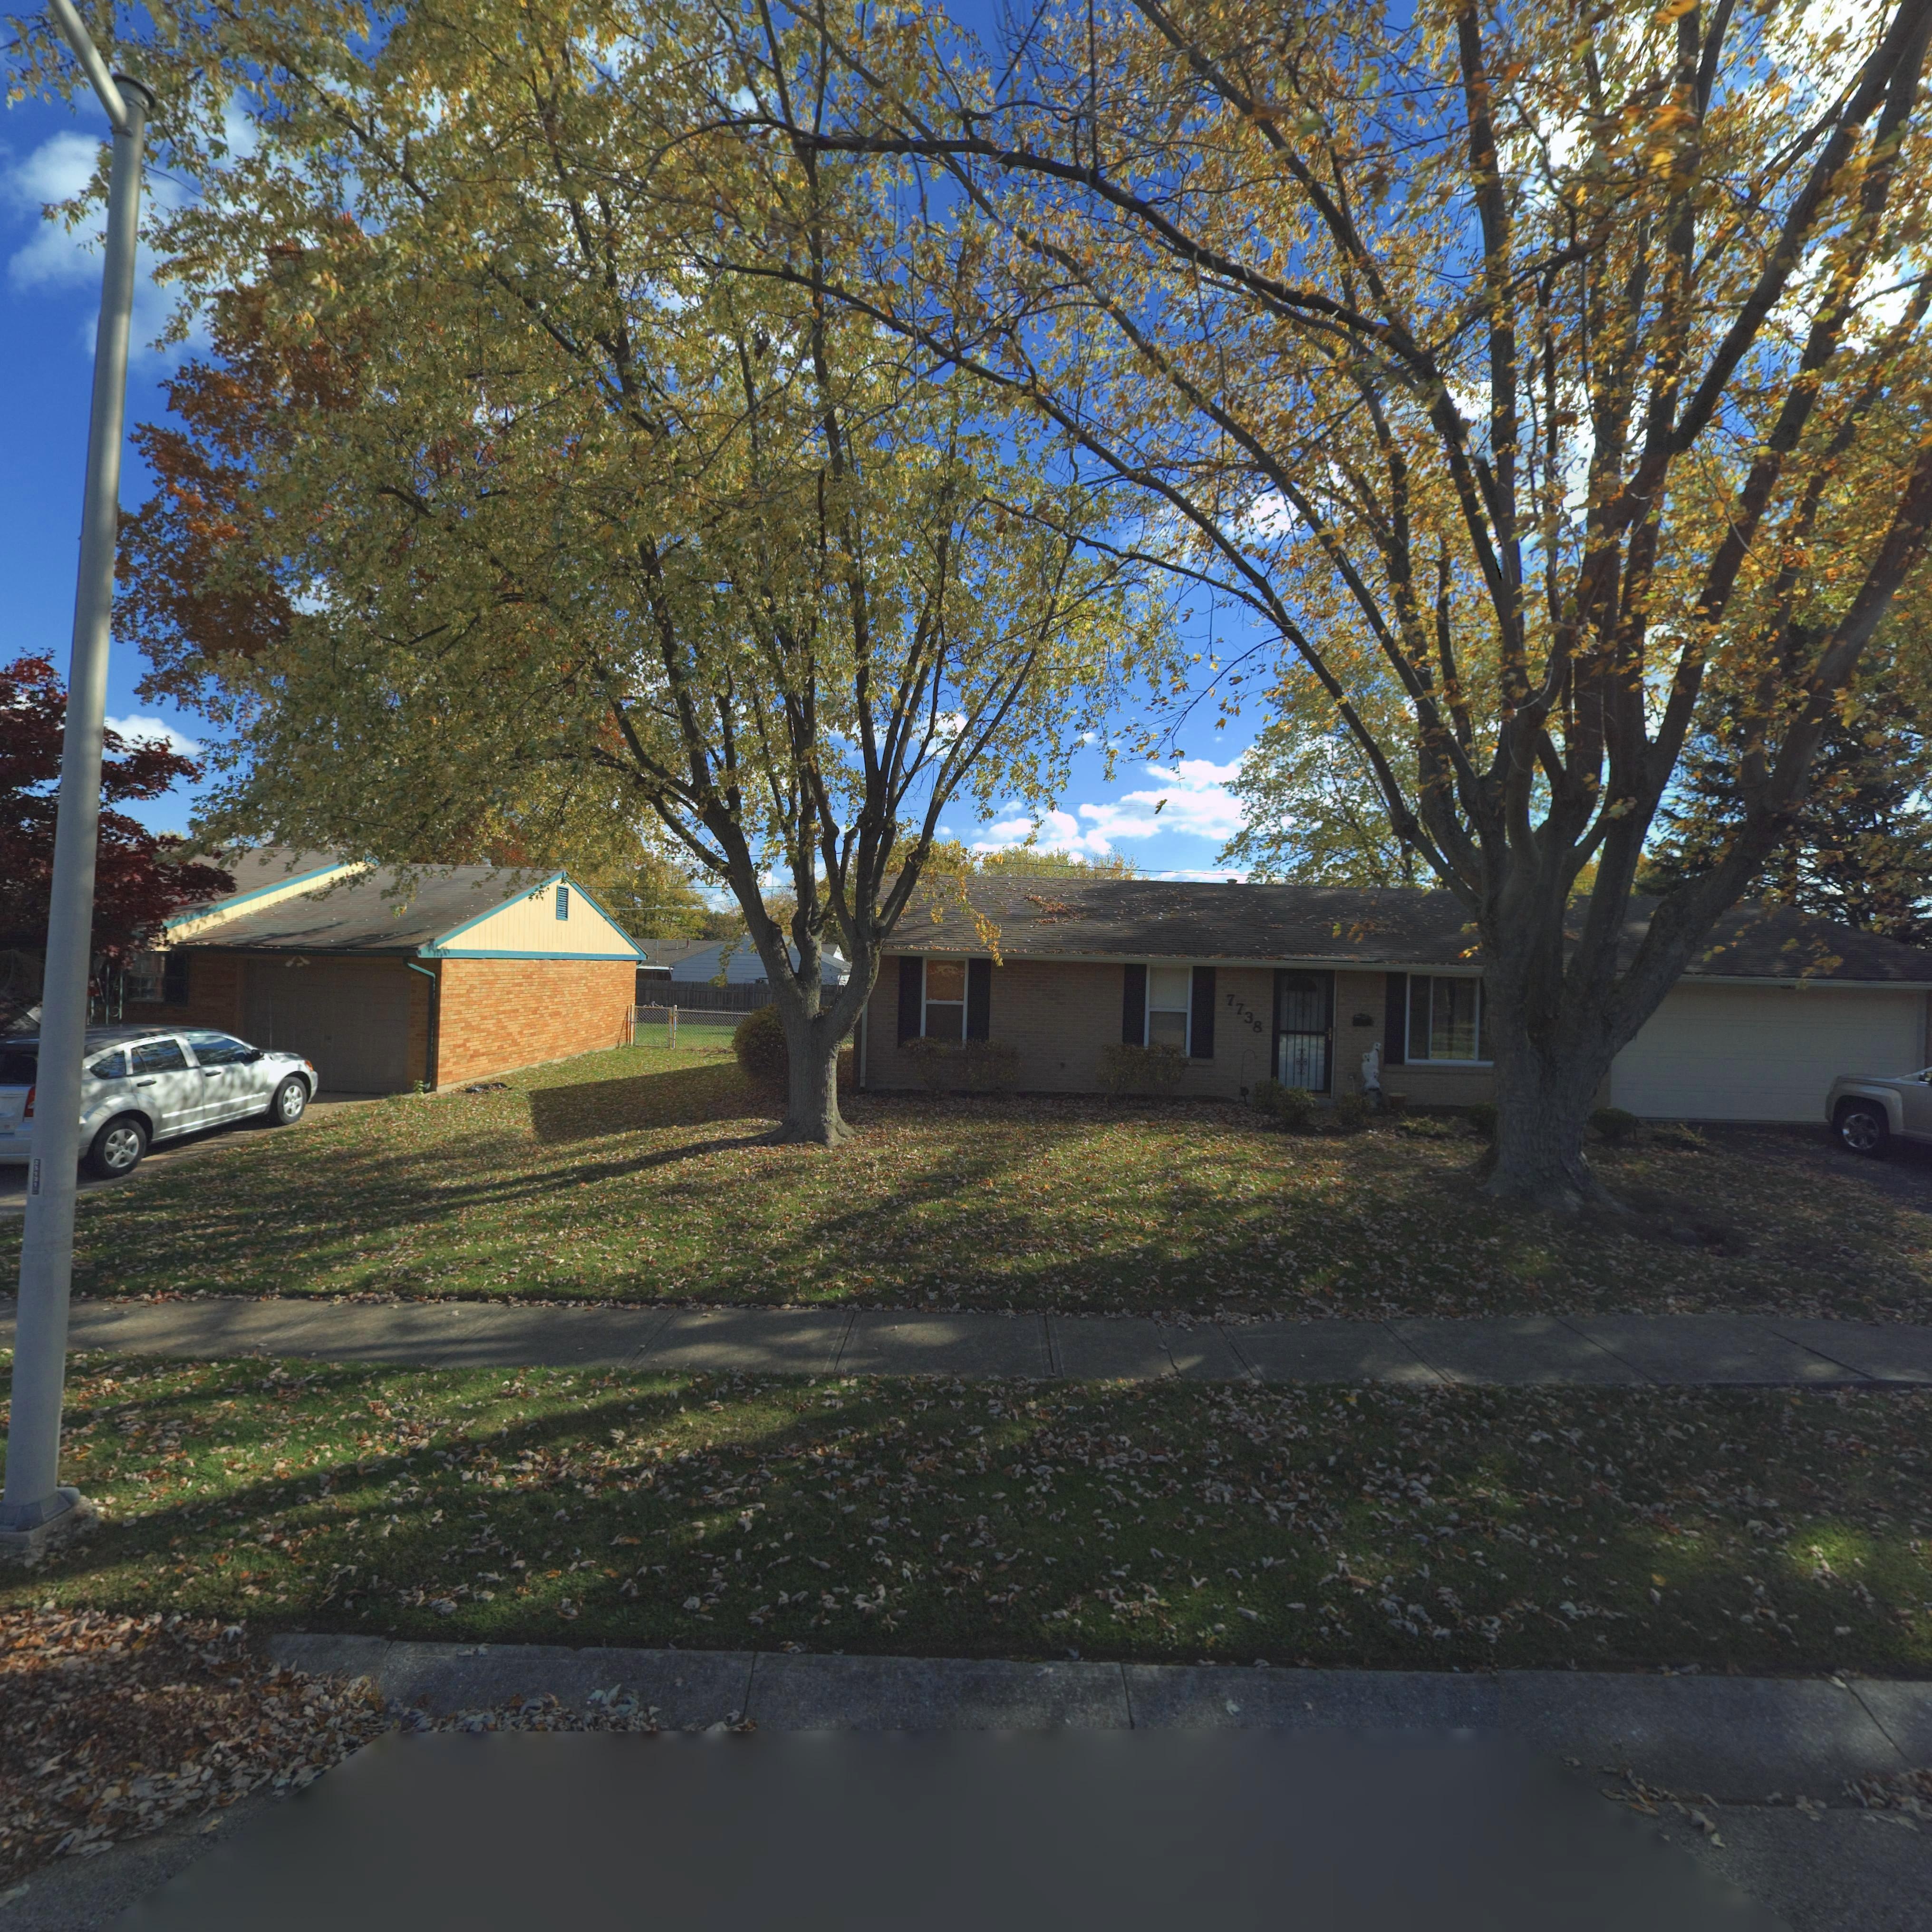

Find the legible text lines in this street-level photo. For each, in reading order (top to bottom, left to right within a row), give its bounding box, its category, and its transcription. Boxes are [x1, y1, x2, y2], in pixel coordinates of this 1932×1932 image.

[1225, 993, 1263, 1034] StreetNumber: 7738